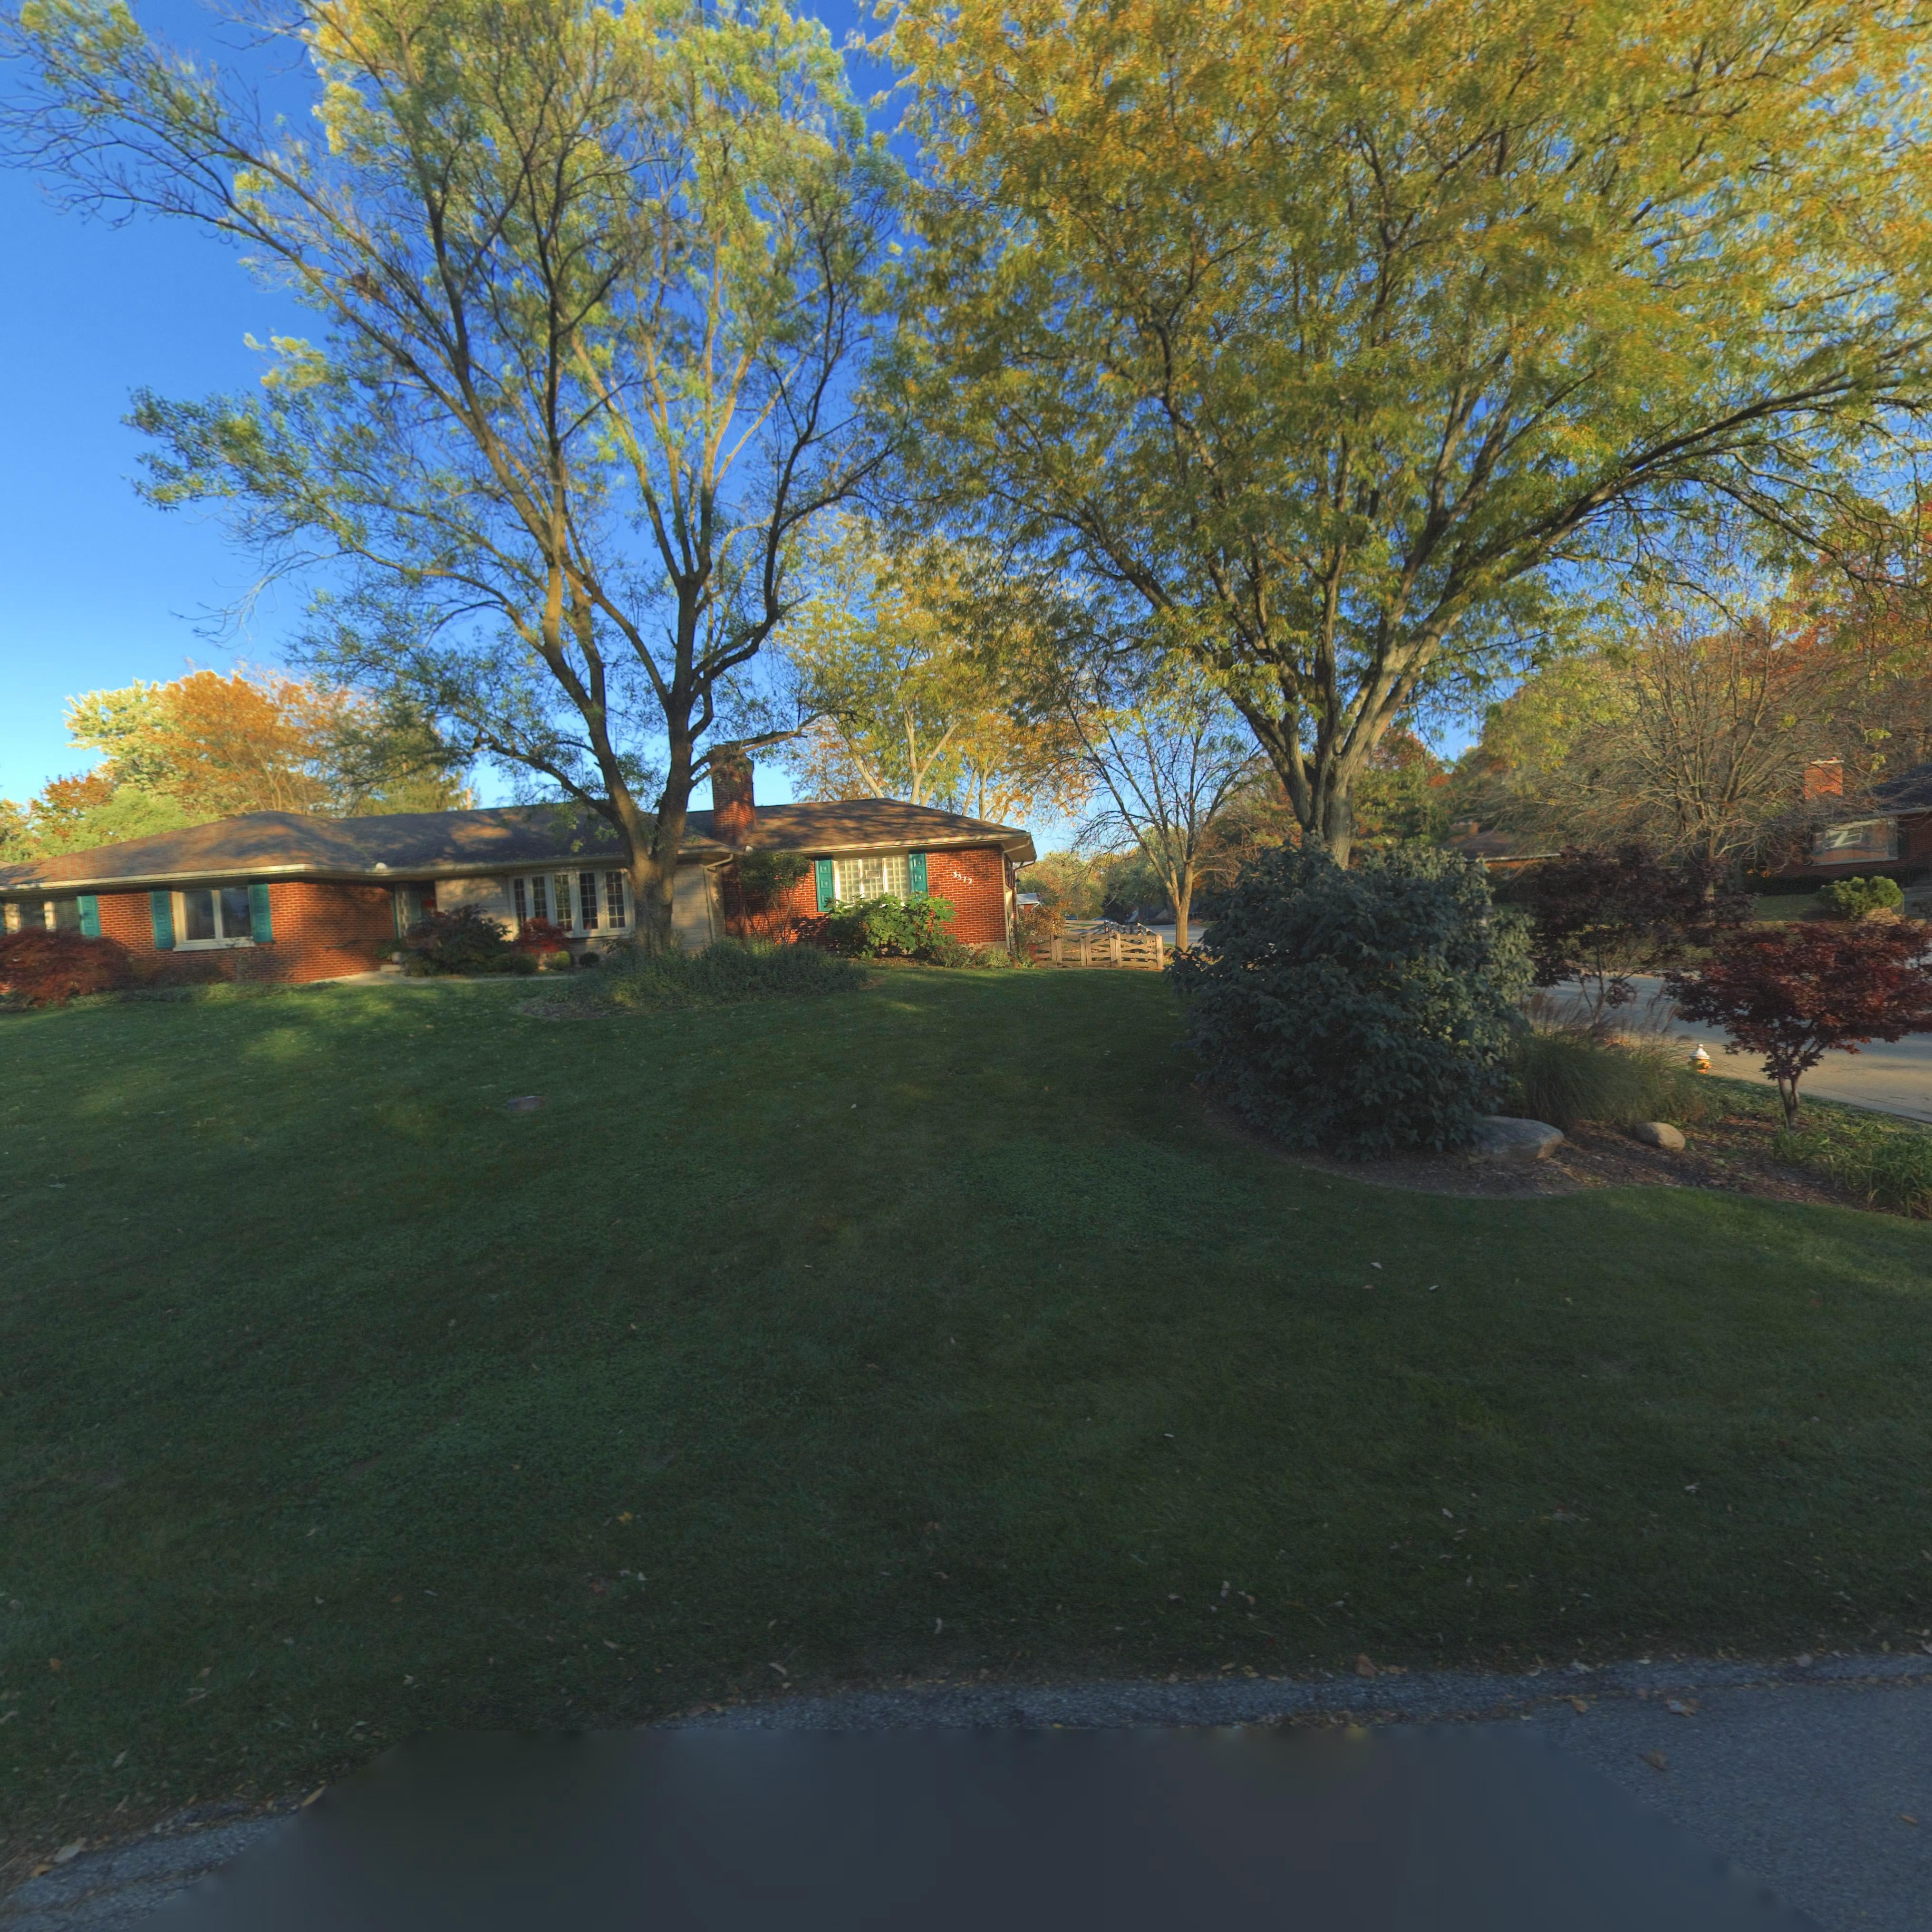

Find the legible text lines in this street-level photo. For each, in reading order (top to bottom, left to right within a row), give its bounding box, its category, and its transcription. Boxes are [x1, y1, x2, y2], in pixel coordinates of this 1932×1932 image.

[953, 871, 974, 884] StreetNumber: 3372